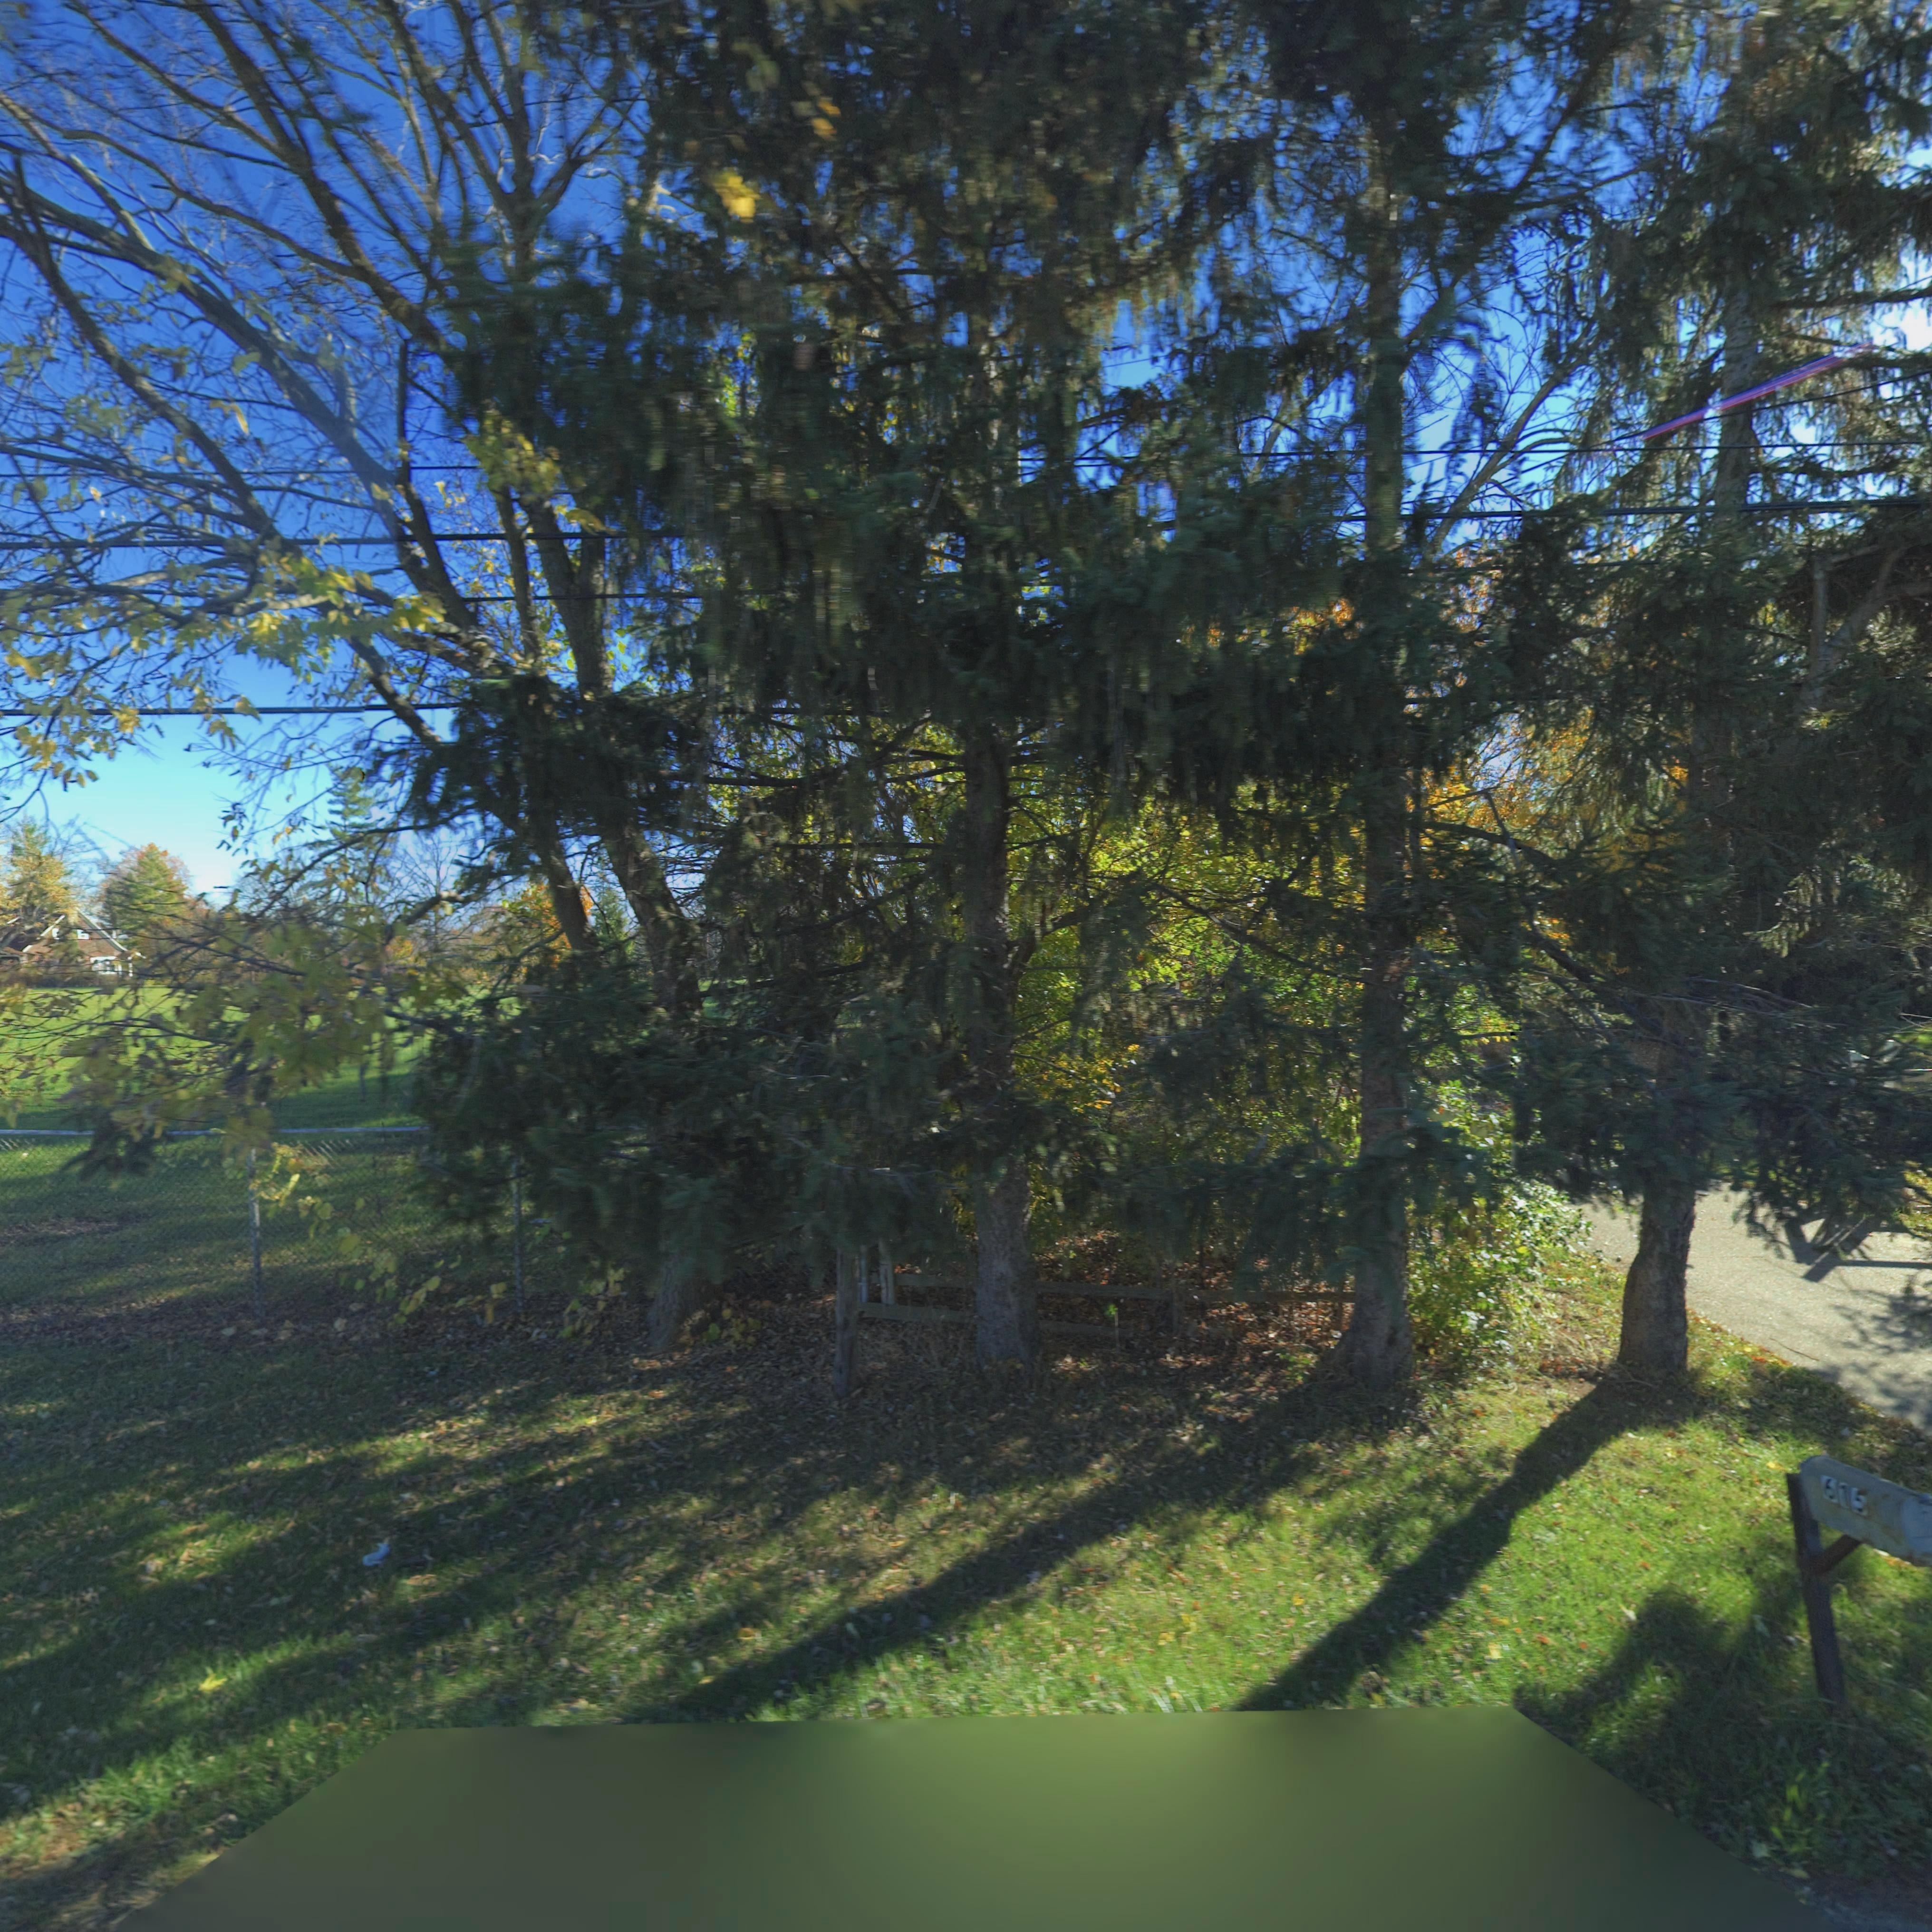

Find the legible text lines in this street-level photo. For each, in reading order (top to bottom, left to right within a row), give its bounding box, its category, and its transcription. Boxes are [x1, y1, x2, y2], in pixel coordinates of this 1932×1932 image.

[1822, 1477, 1868, 1514] StreetNumber: 615